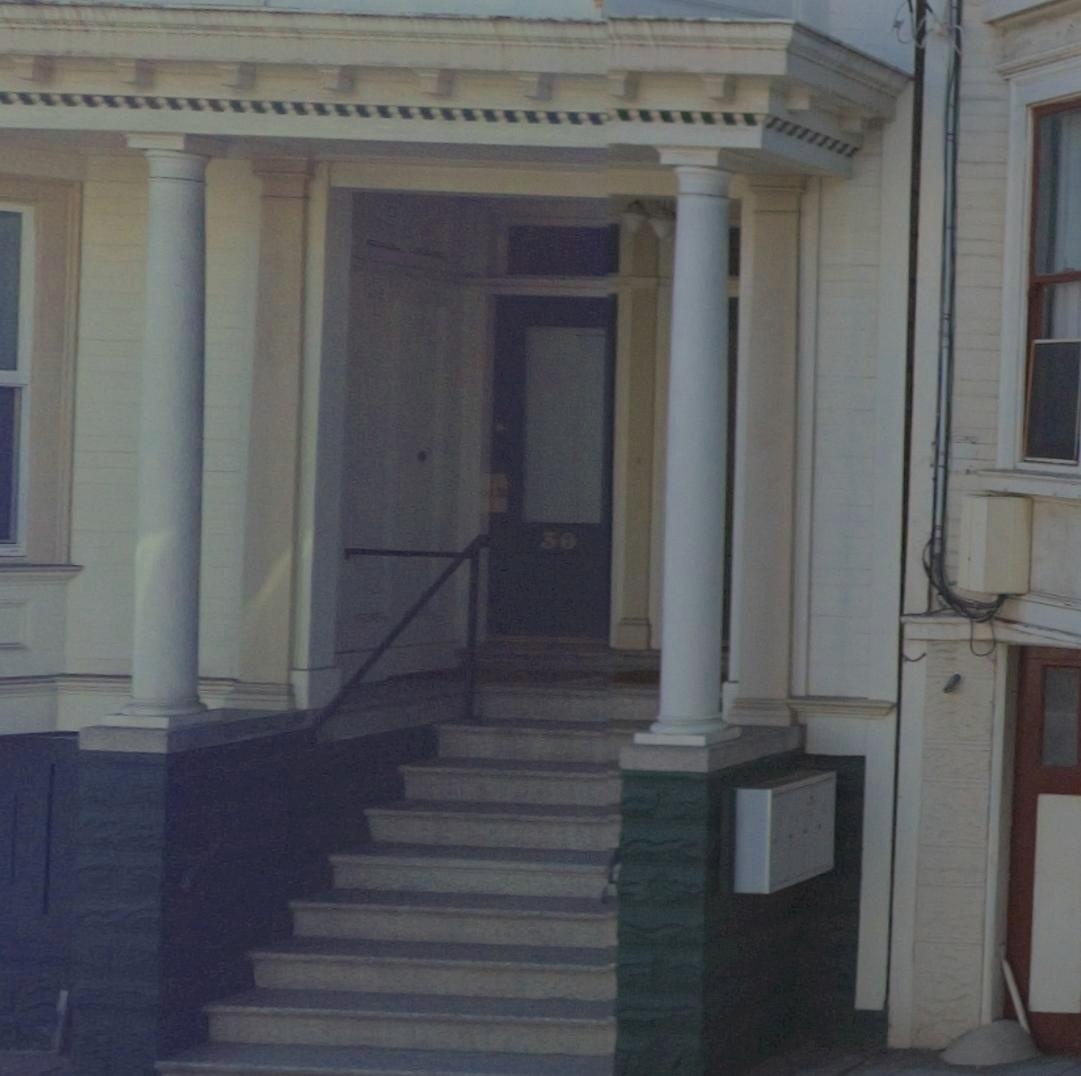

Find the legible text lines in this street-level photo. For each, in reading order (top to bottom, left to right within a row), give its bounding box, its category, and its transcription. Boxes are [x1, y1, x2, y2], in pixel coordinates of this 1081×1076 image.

[540, 531, 577, 551] StreetNumber: 30